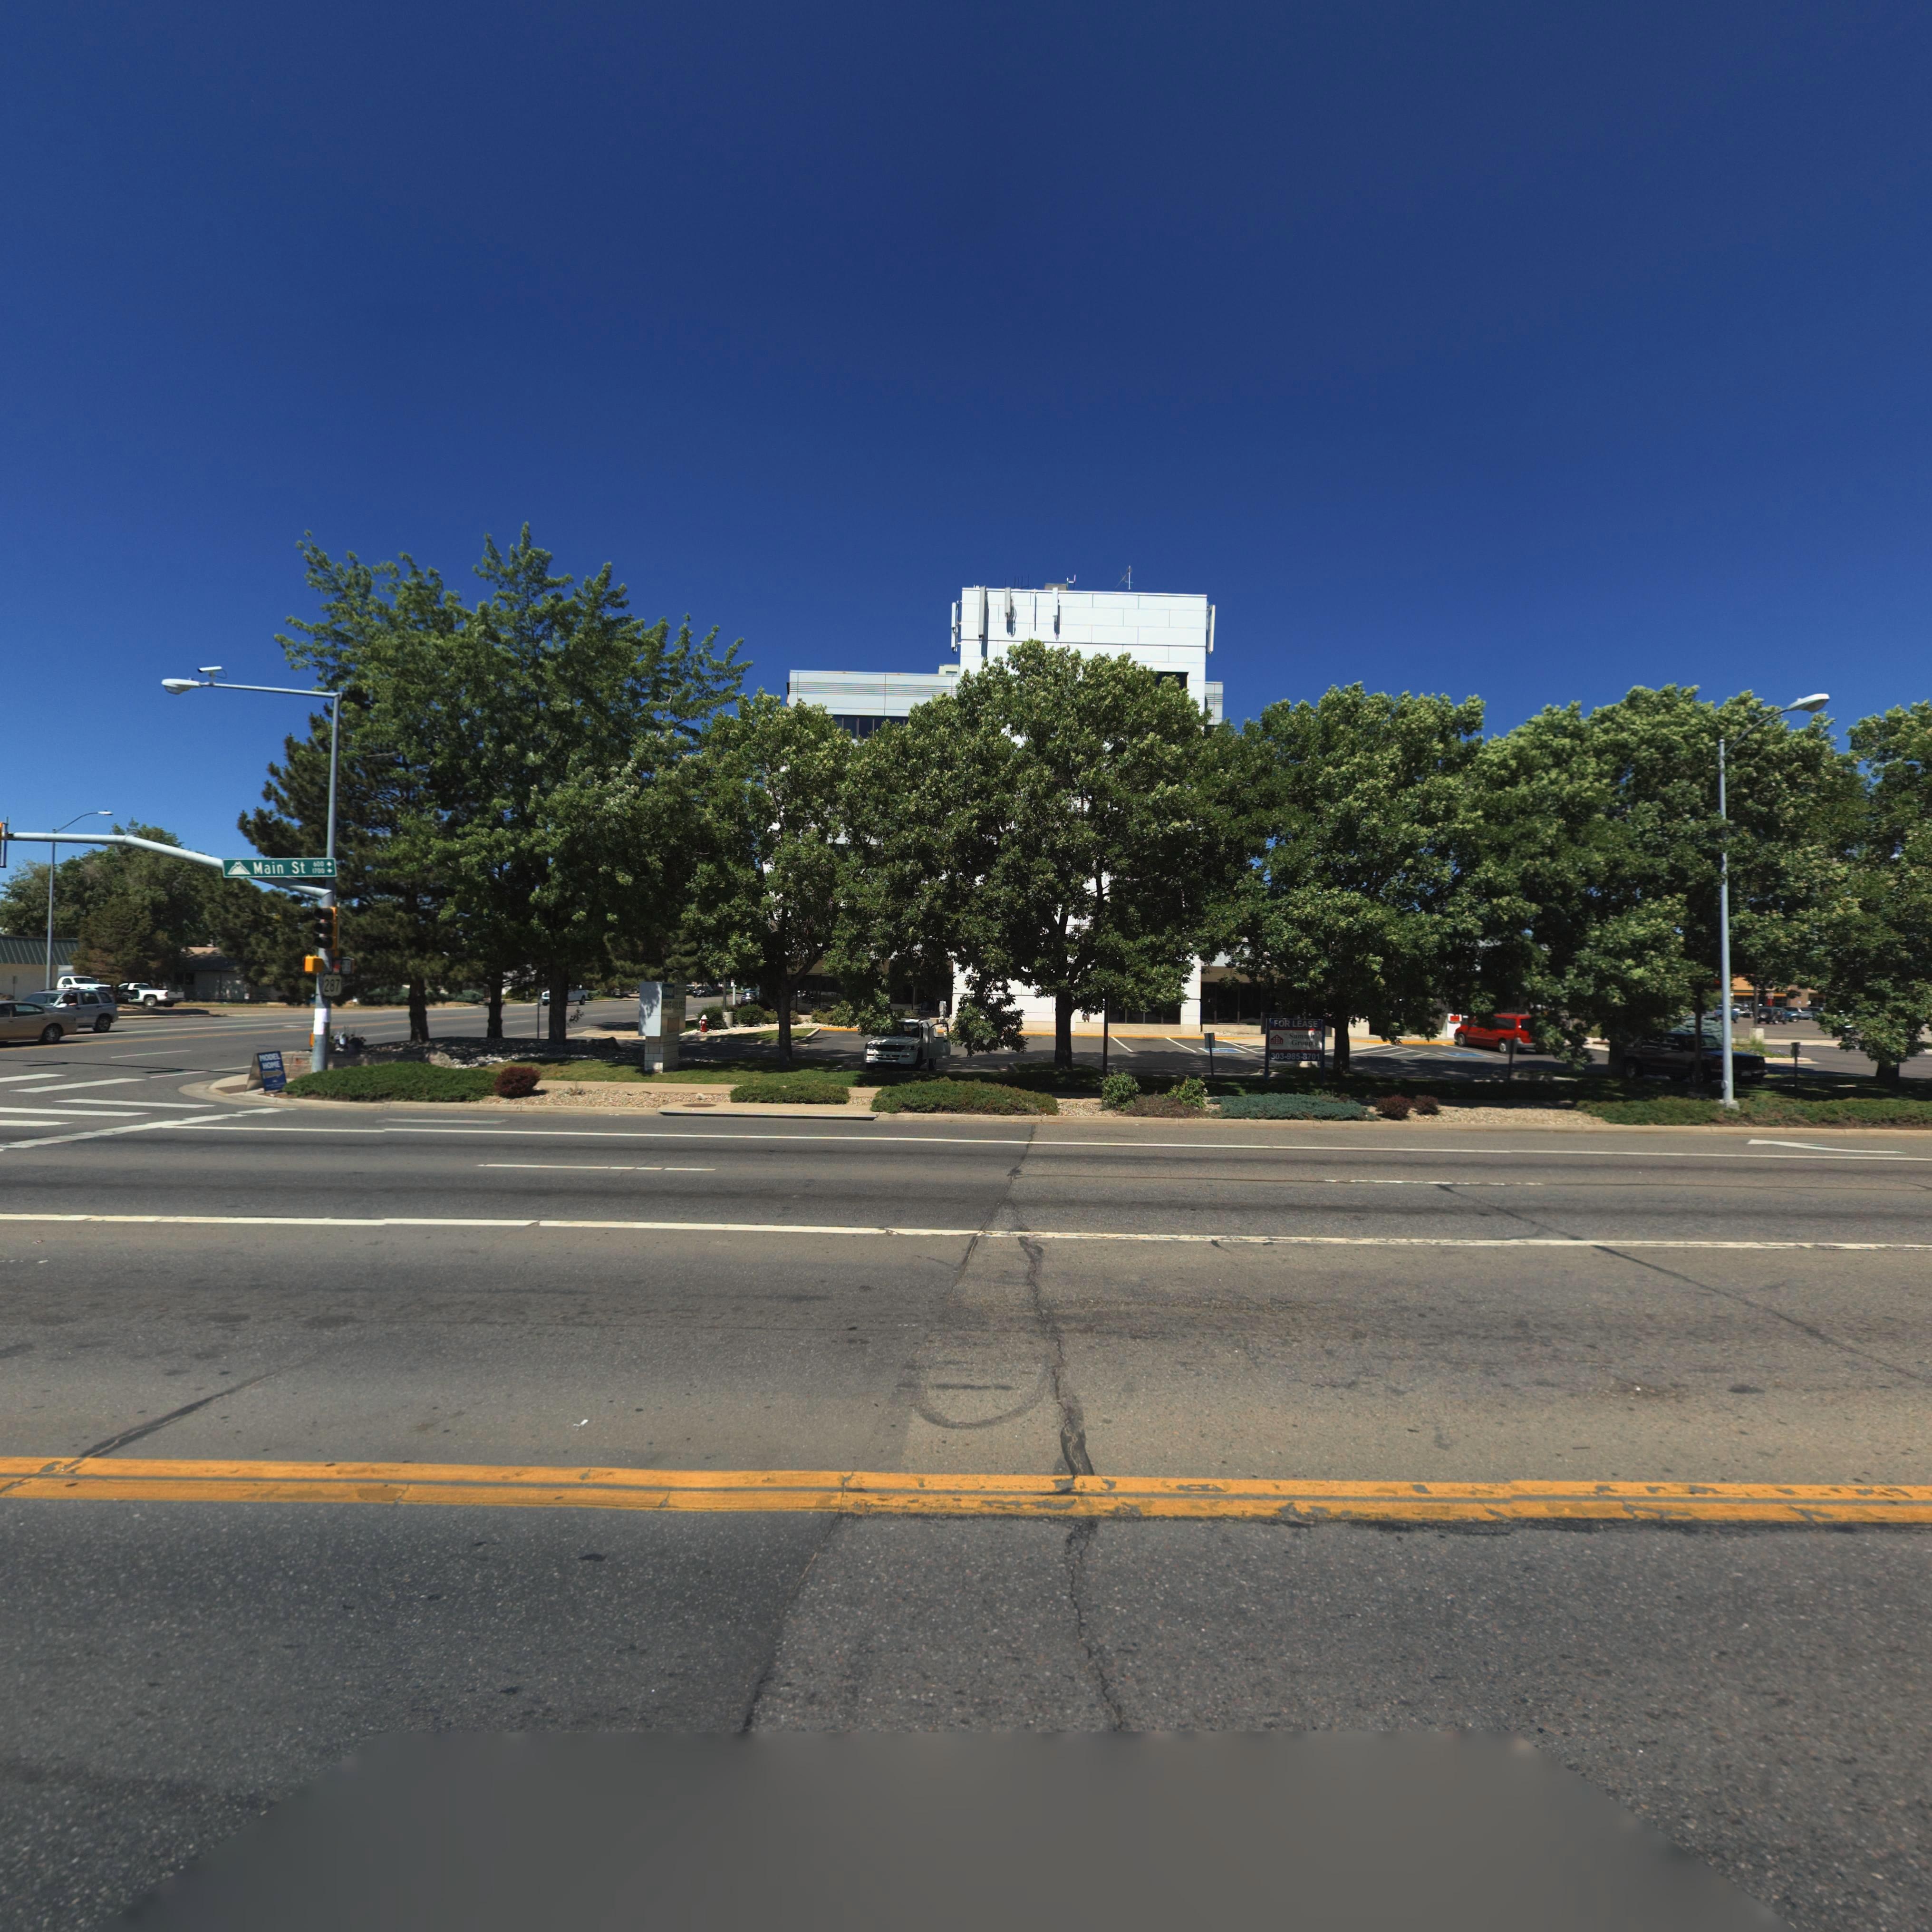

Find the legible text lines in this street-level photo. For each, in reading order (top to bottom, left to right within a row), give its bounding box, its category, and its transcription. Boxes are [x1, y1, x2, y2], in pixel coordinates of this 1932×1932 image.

[252, 861, 306, 874] StreetName: Main St
[312, 861, 324, 867] StreetNumberRange: 600
[311, 868, 333, 874] StreetNumberRange: 1700 ->
[663, 986, 674, 995] BusinessName: 1******